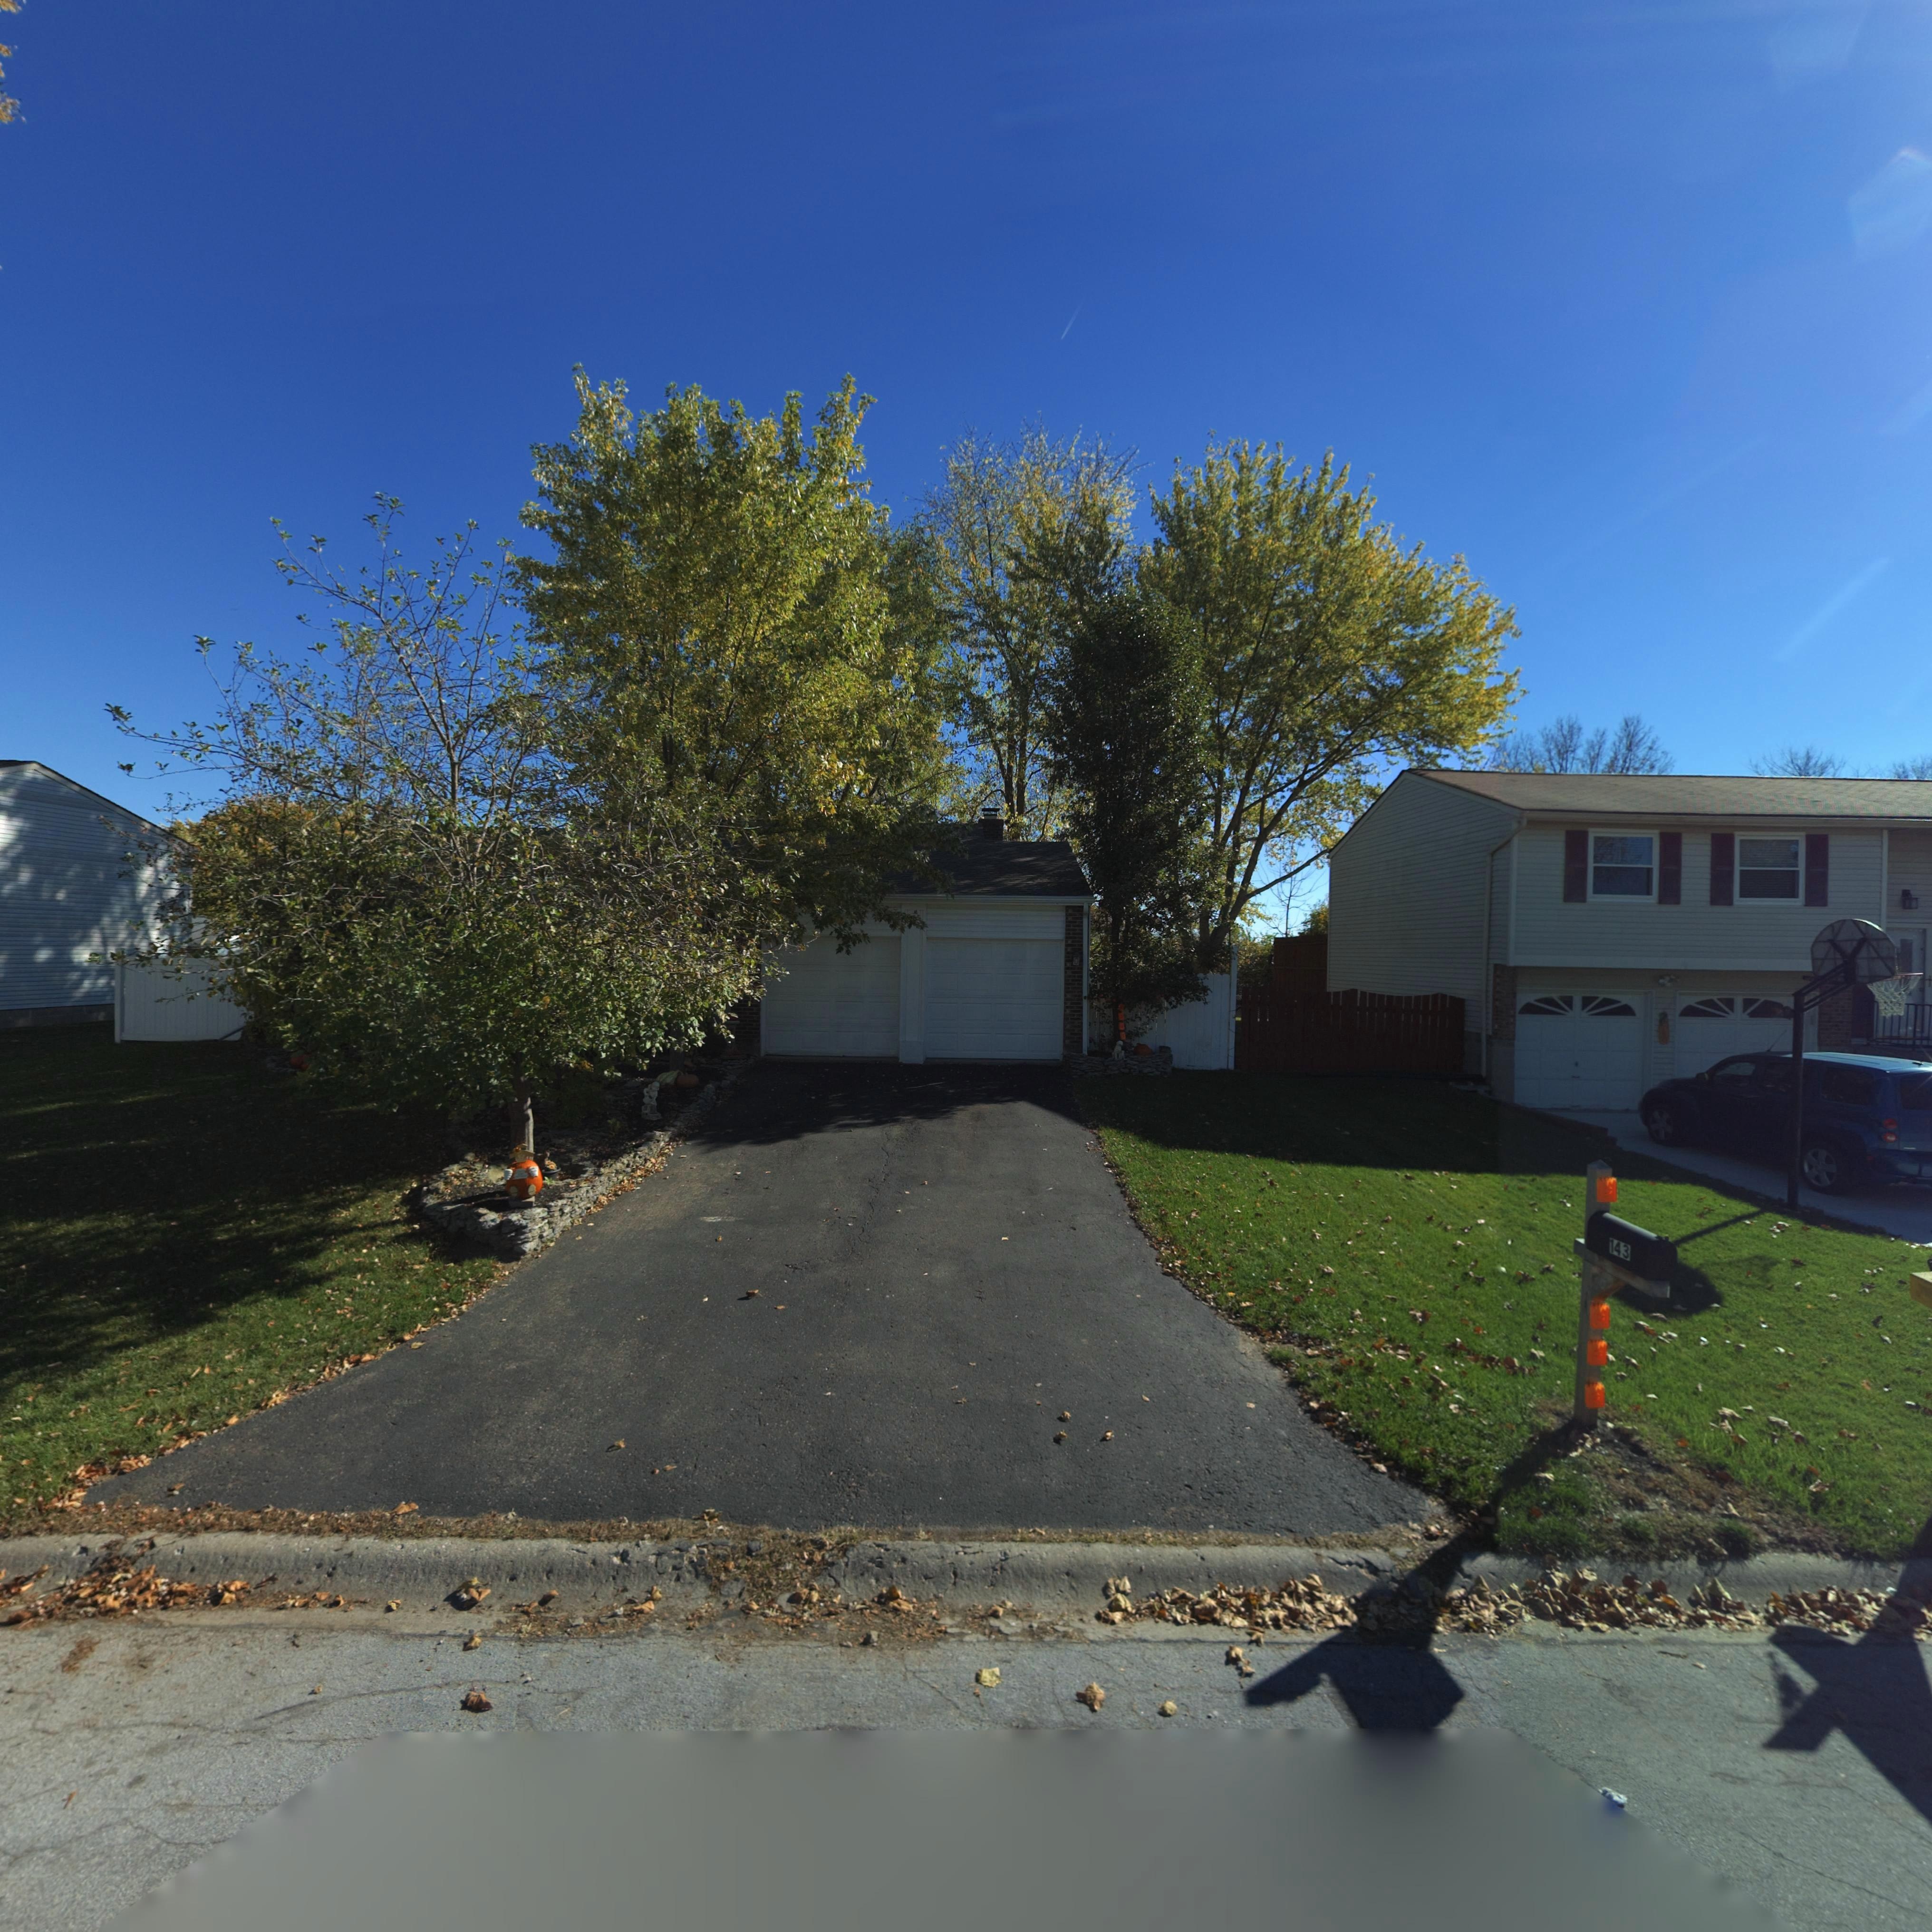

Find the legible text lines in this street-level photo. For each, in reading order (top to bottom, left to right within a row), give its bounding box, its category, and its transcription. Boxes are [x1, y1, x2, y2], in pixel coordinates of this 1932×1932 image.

[1609, 1238, 1631, 1260] StreetNumber: 143